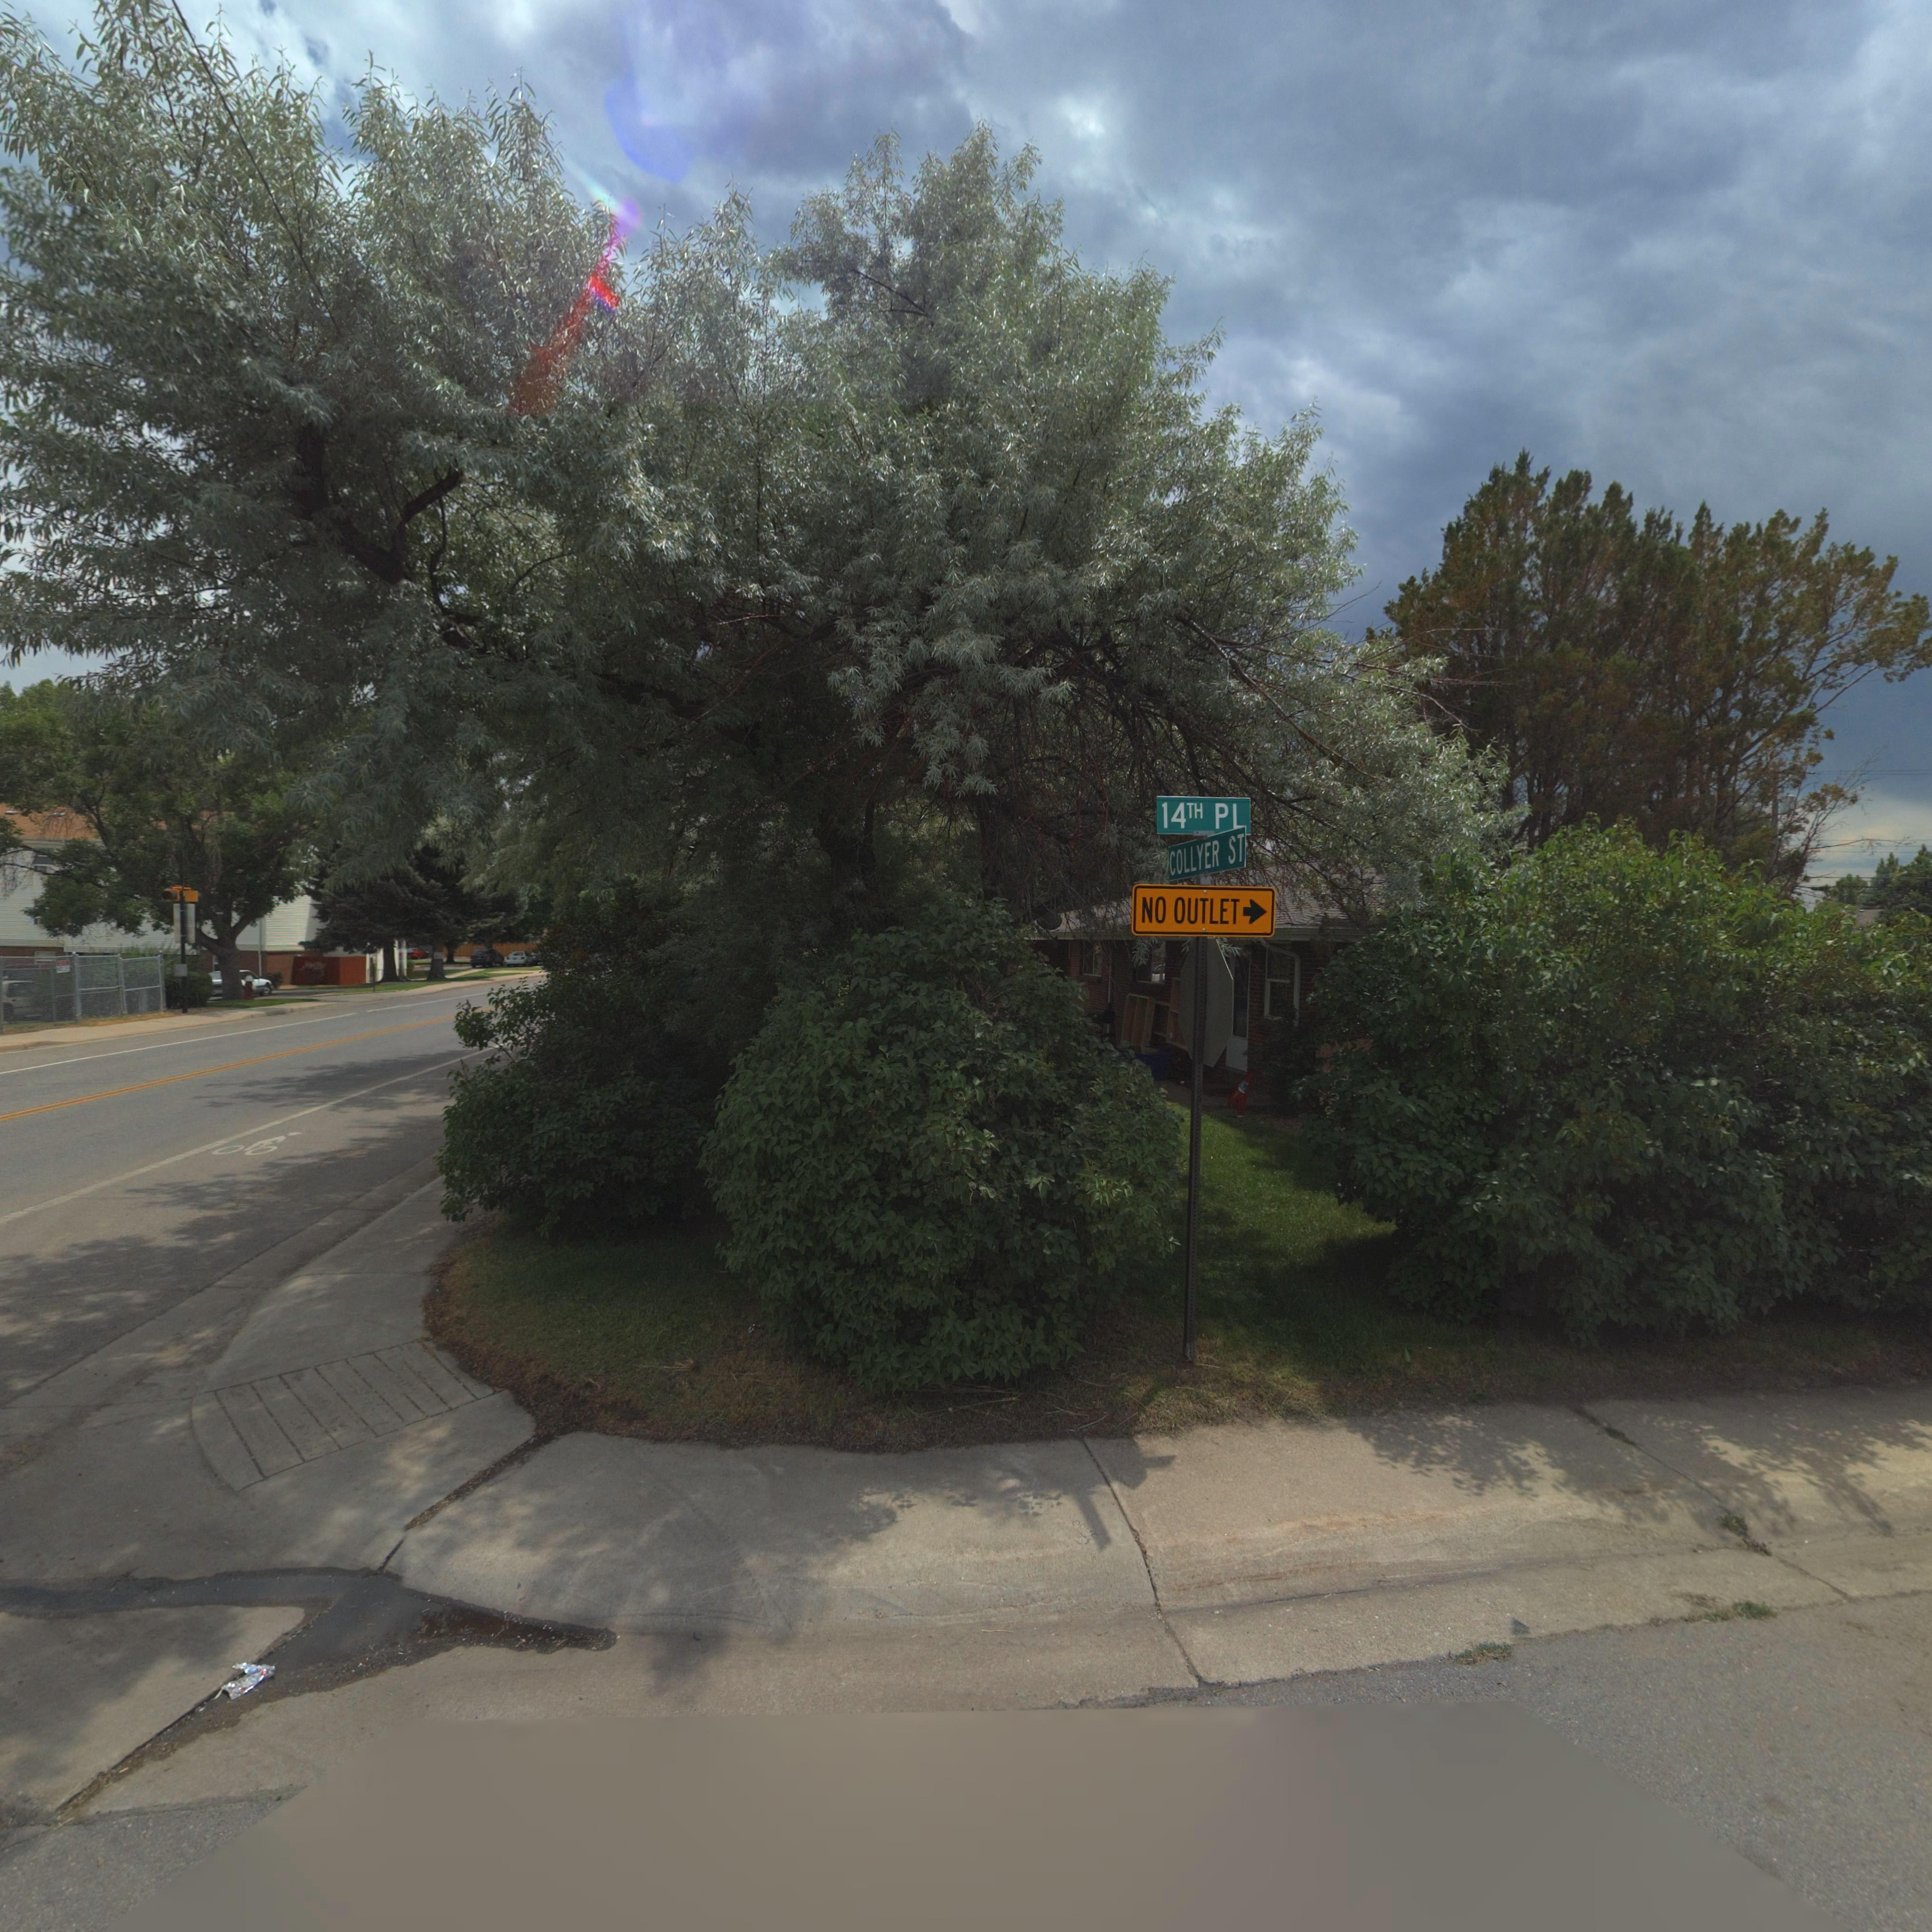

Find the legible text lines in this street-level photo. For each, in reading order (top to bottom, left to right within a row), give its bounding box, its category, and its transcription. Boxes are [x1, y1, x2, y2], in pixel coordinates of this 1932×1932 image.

[1160, 801, 1247, 831] StreetName: 14TH PL
[1169, 831, 1245, 876] StreetName: COLLYER ST